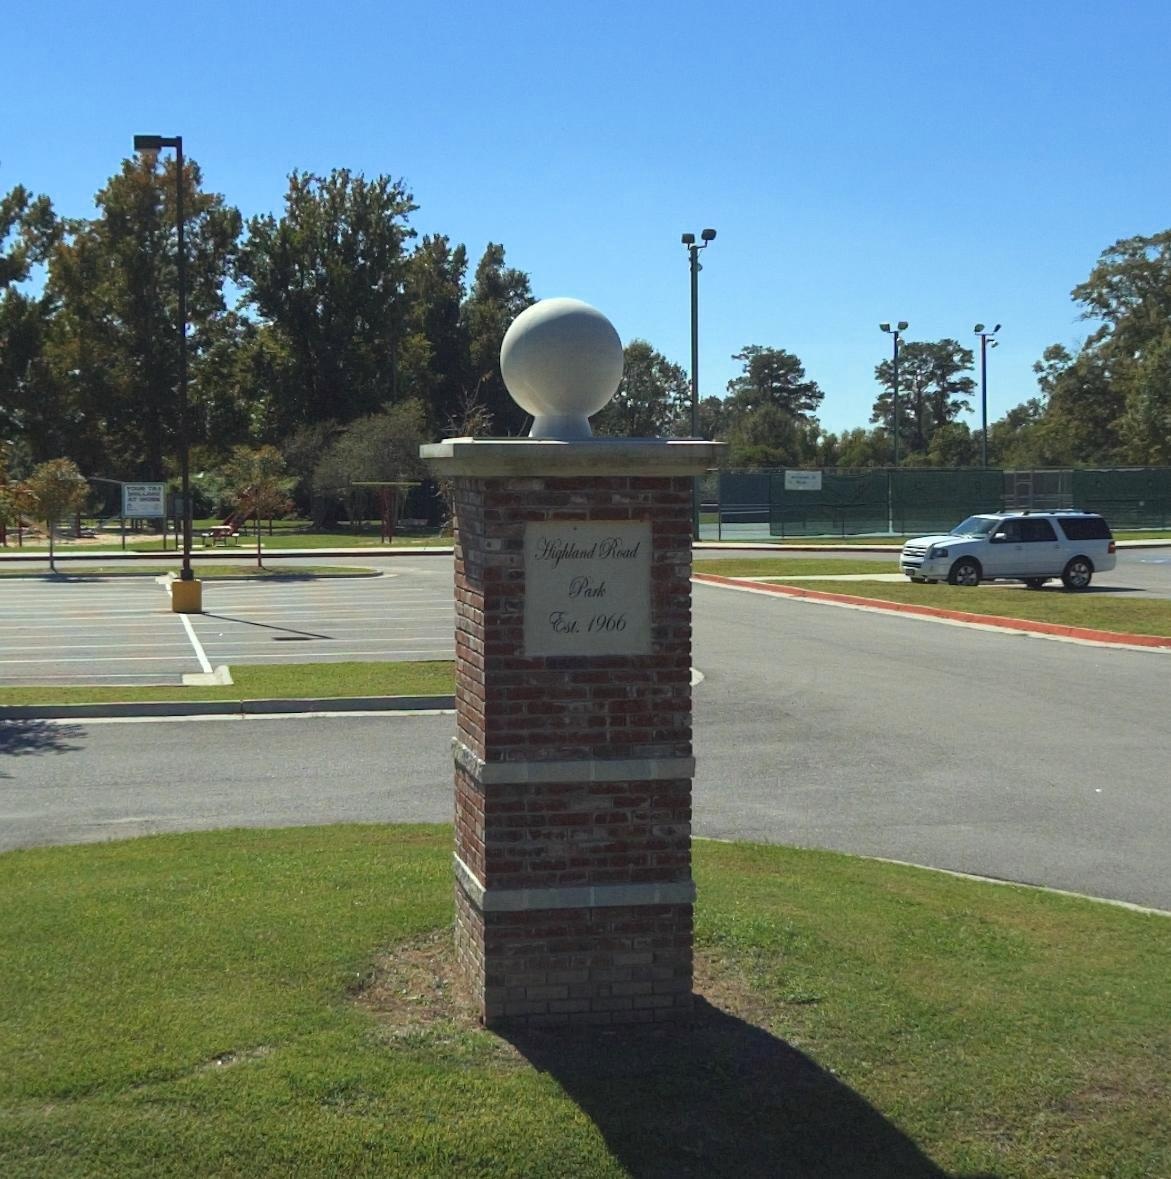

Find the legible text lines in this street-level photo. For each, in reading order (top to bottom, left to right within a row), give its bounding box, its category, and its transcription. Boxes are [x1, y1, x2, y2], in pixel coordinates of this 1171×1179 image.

[534, 536, 641, 569] BusinessName: Highland Road
[567, 574, 608, 599] BusinessName: Park
[548, 611, 628, 634] None: Est. 1966